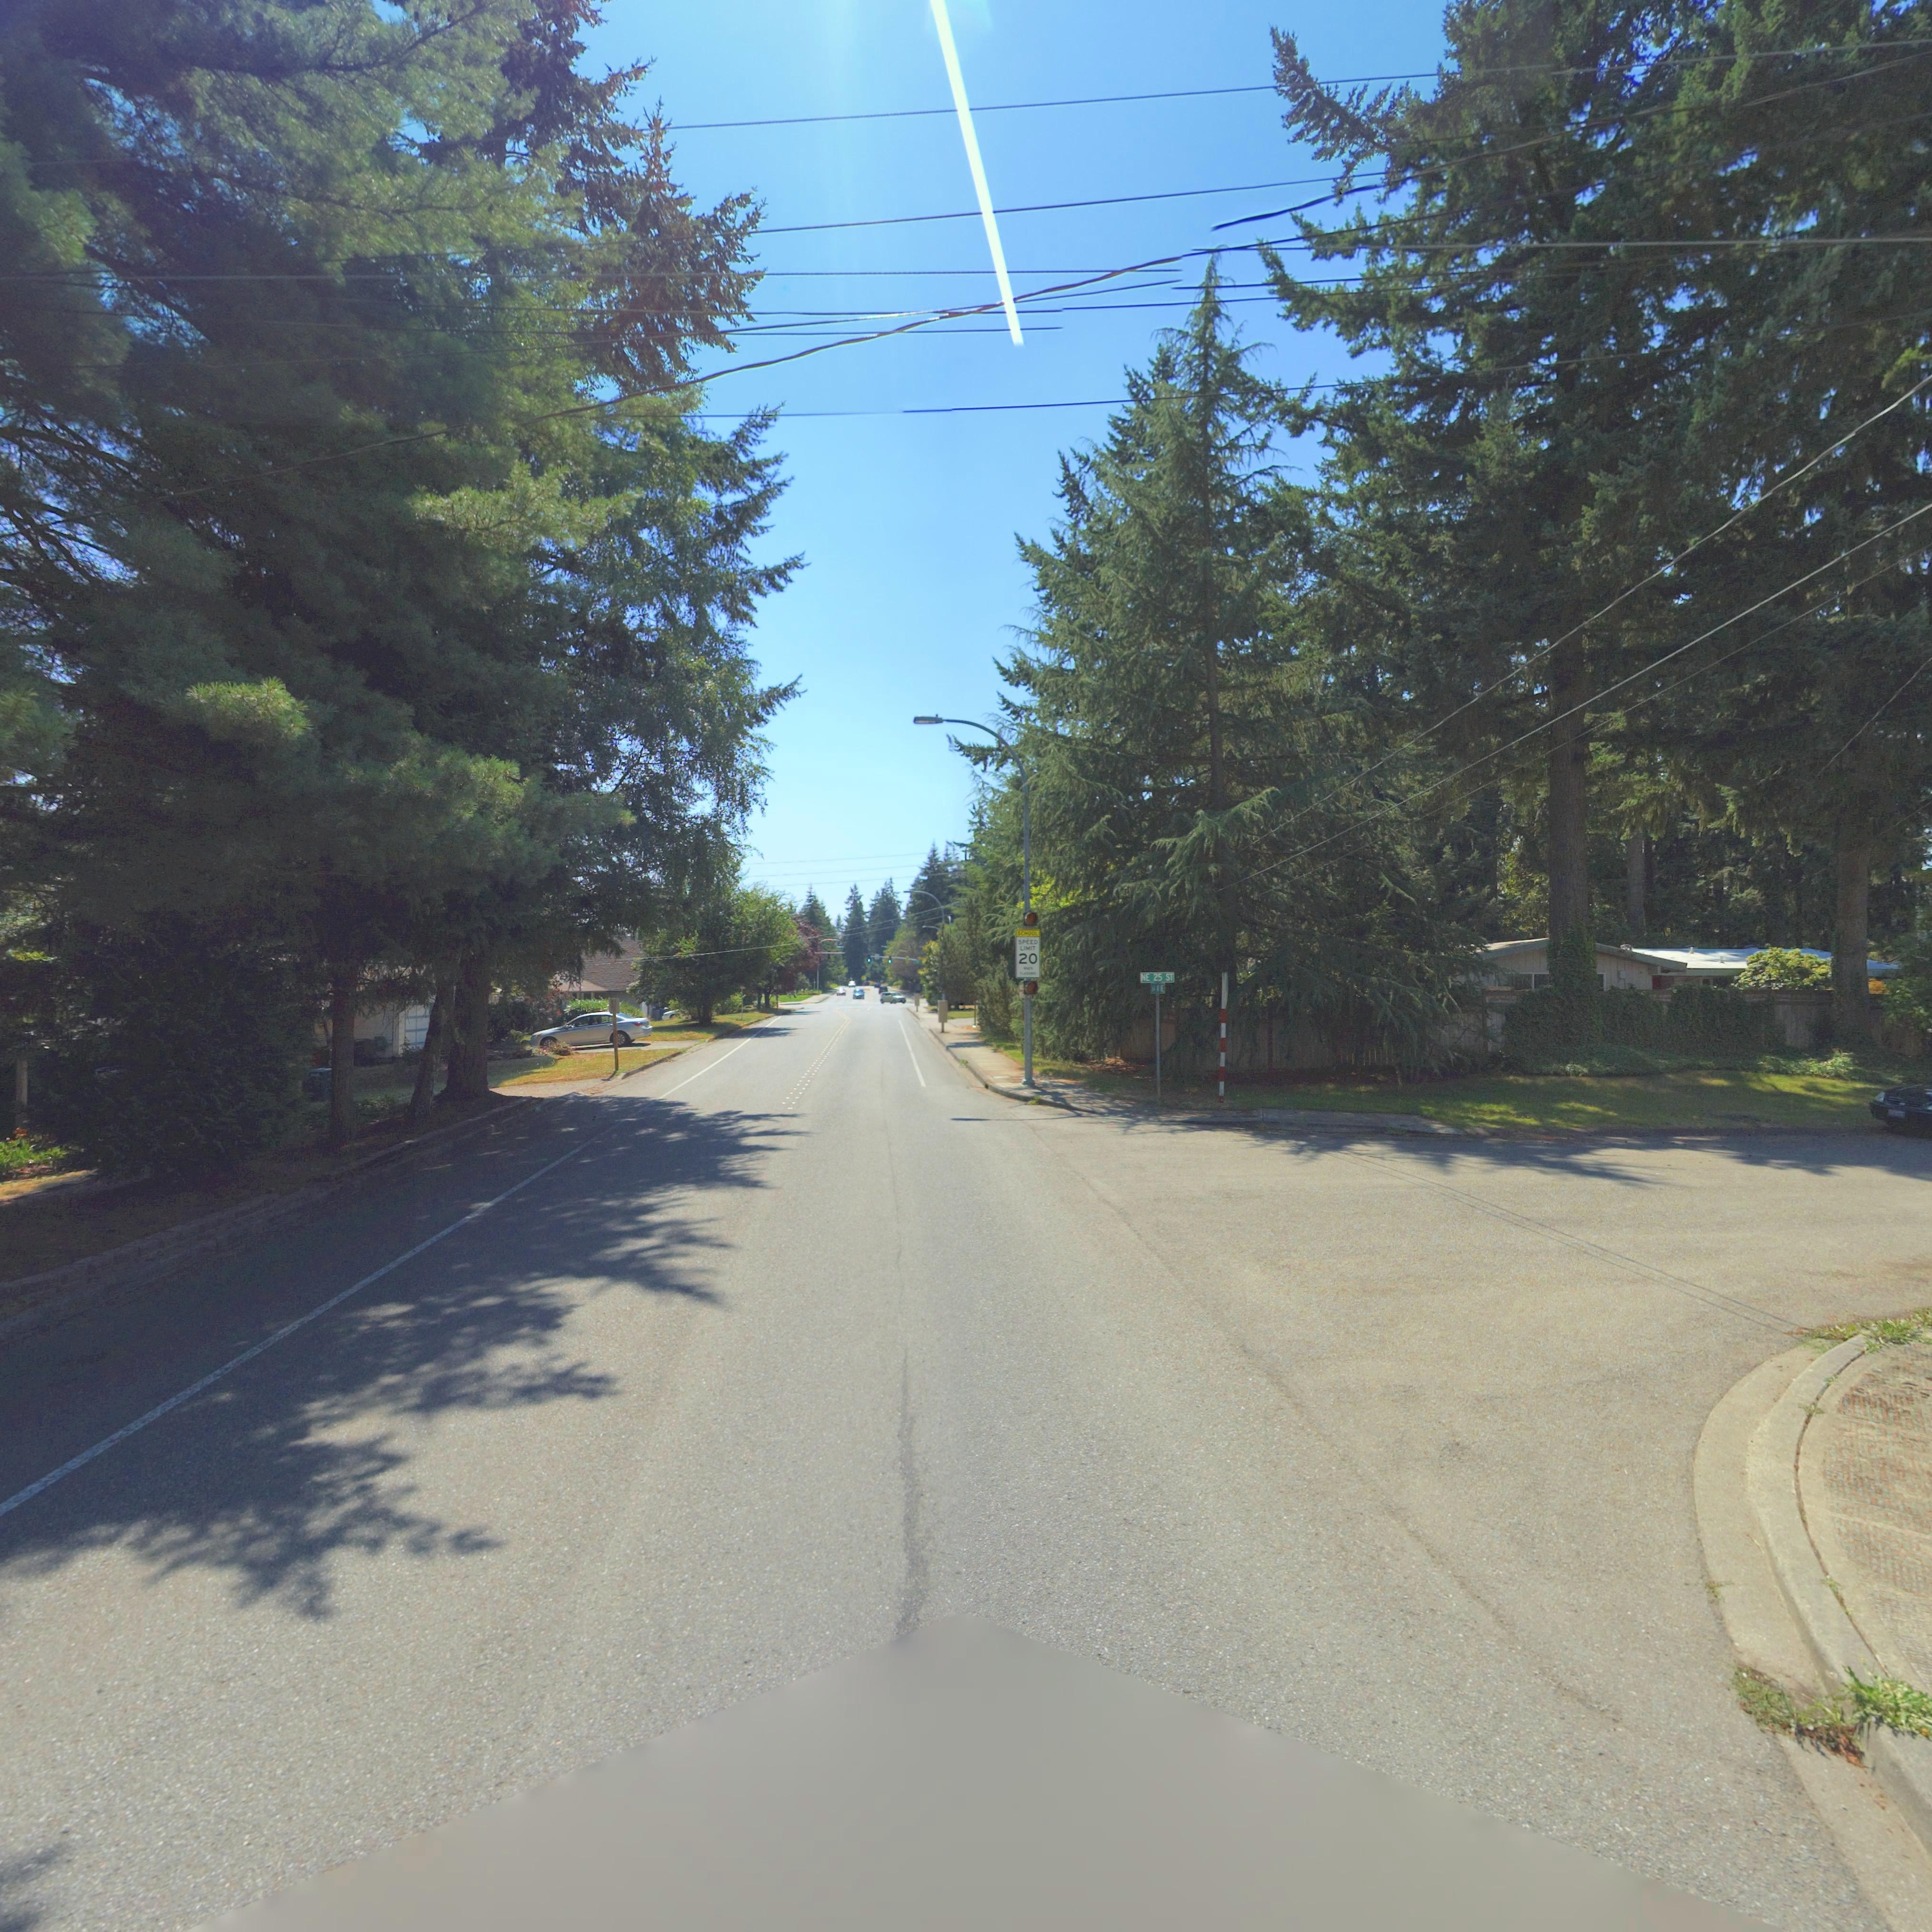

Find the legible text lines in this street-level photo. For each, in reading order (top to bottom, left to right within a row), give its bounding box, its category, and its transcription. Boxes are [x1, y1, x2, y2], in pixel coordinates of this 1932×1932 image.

[1140, 973, 1173, 981] StreetName: NE 25 ST